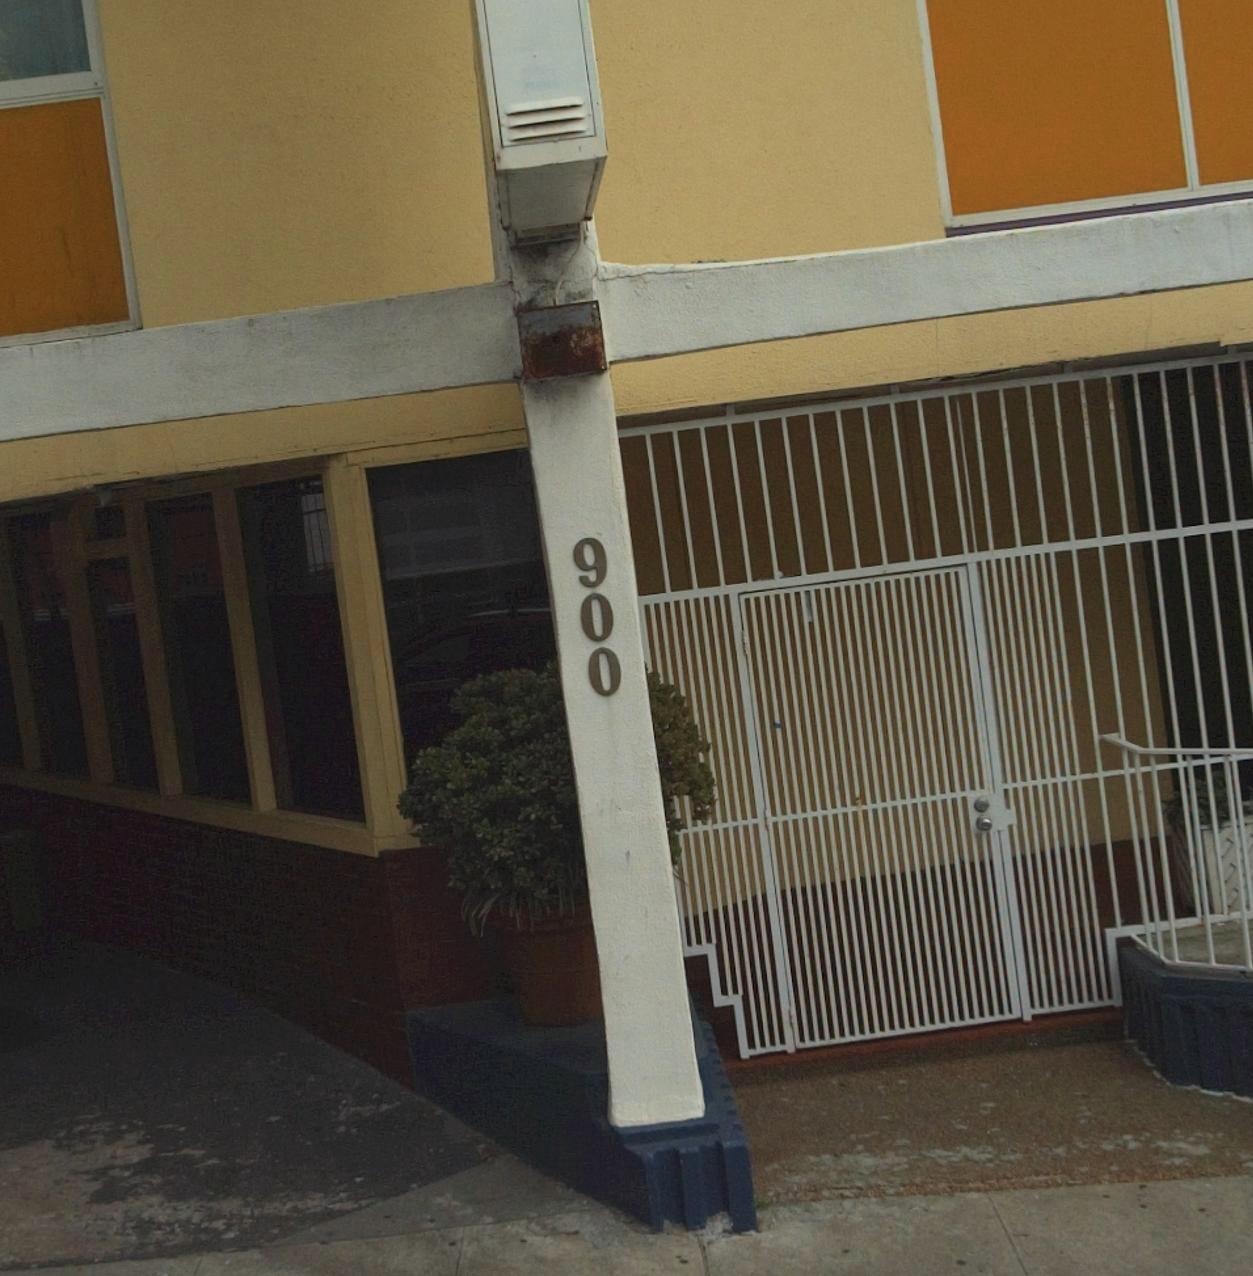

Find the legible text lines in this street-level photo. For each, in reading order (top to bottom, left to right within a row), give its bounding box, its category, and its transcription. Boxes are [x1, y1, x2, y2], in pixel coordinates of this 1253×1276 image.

[568, 531, 626, 699] StreetNumber: 900